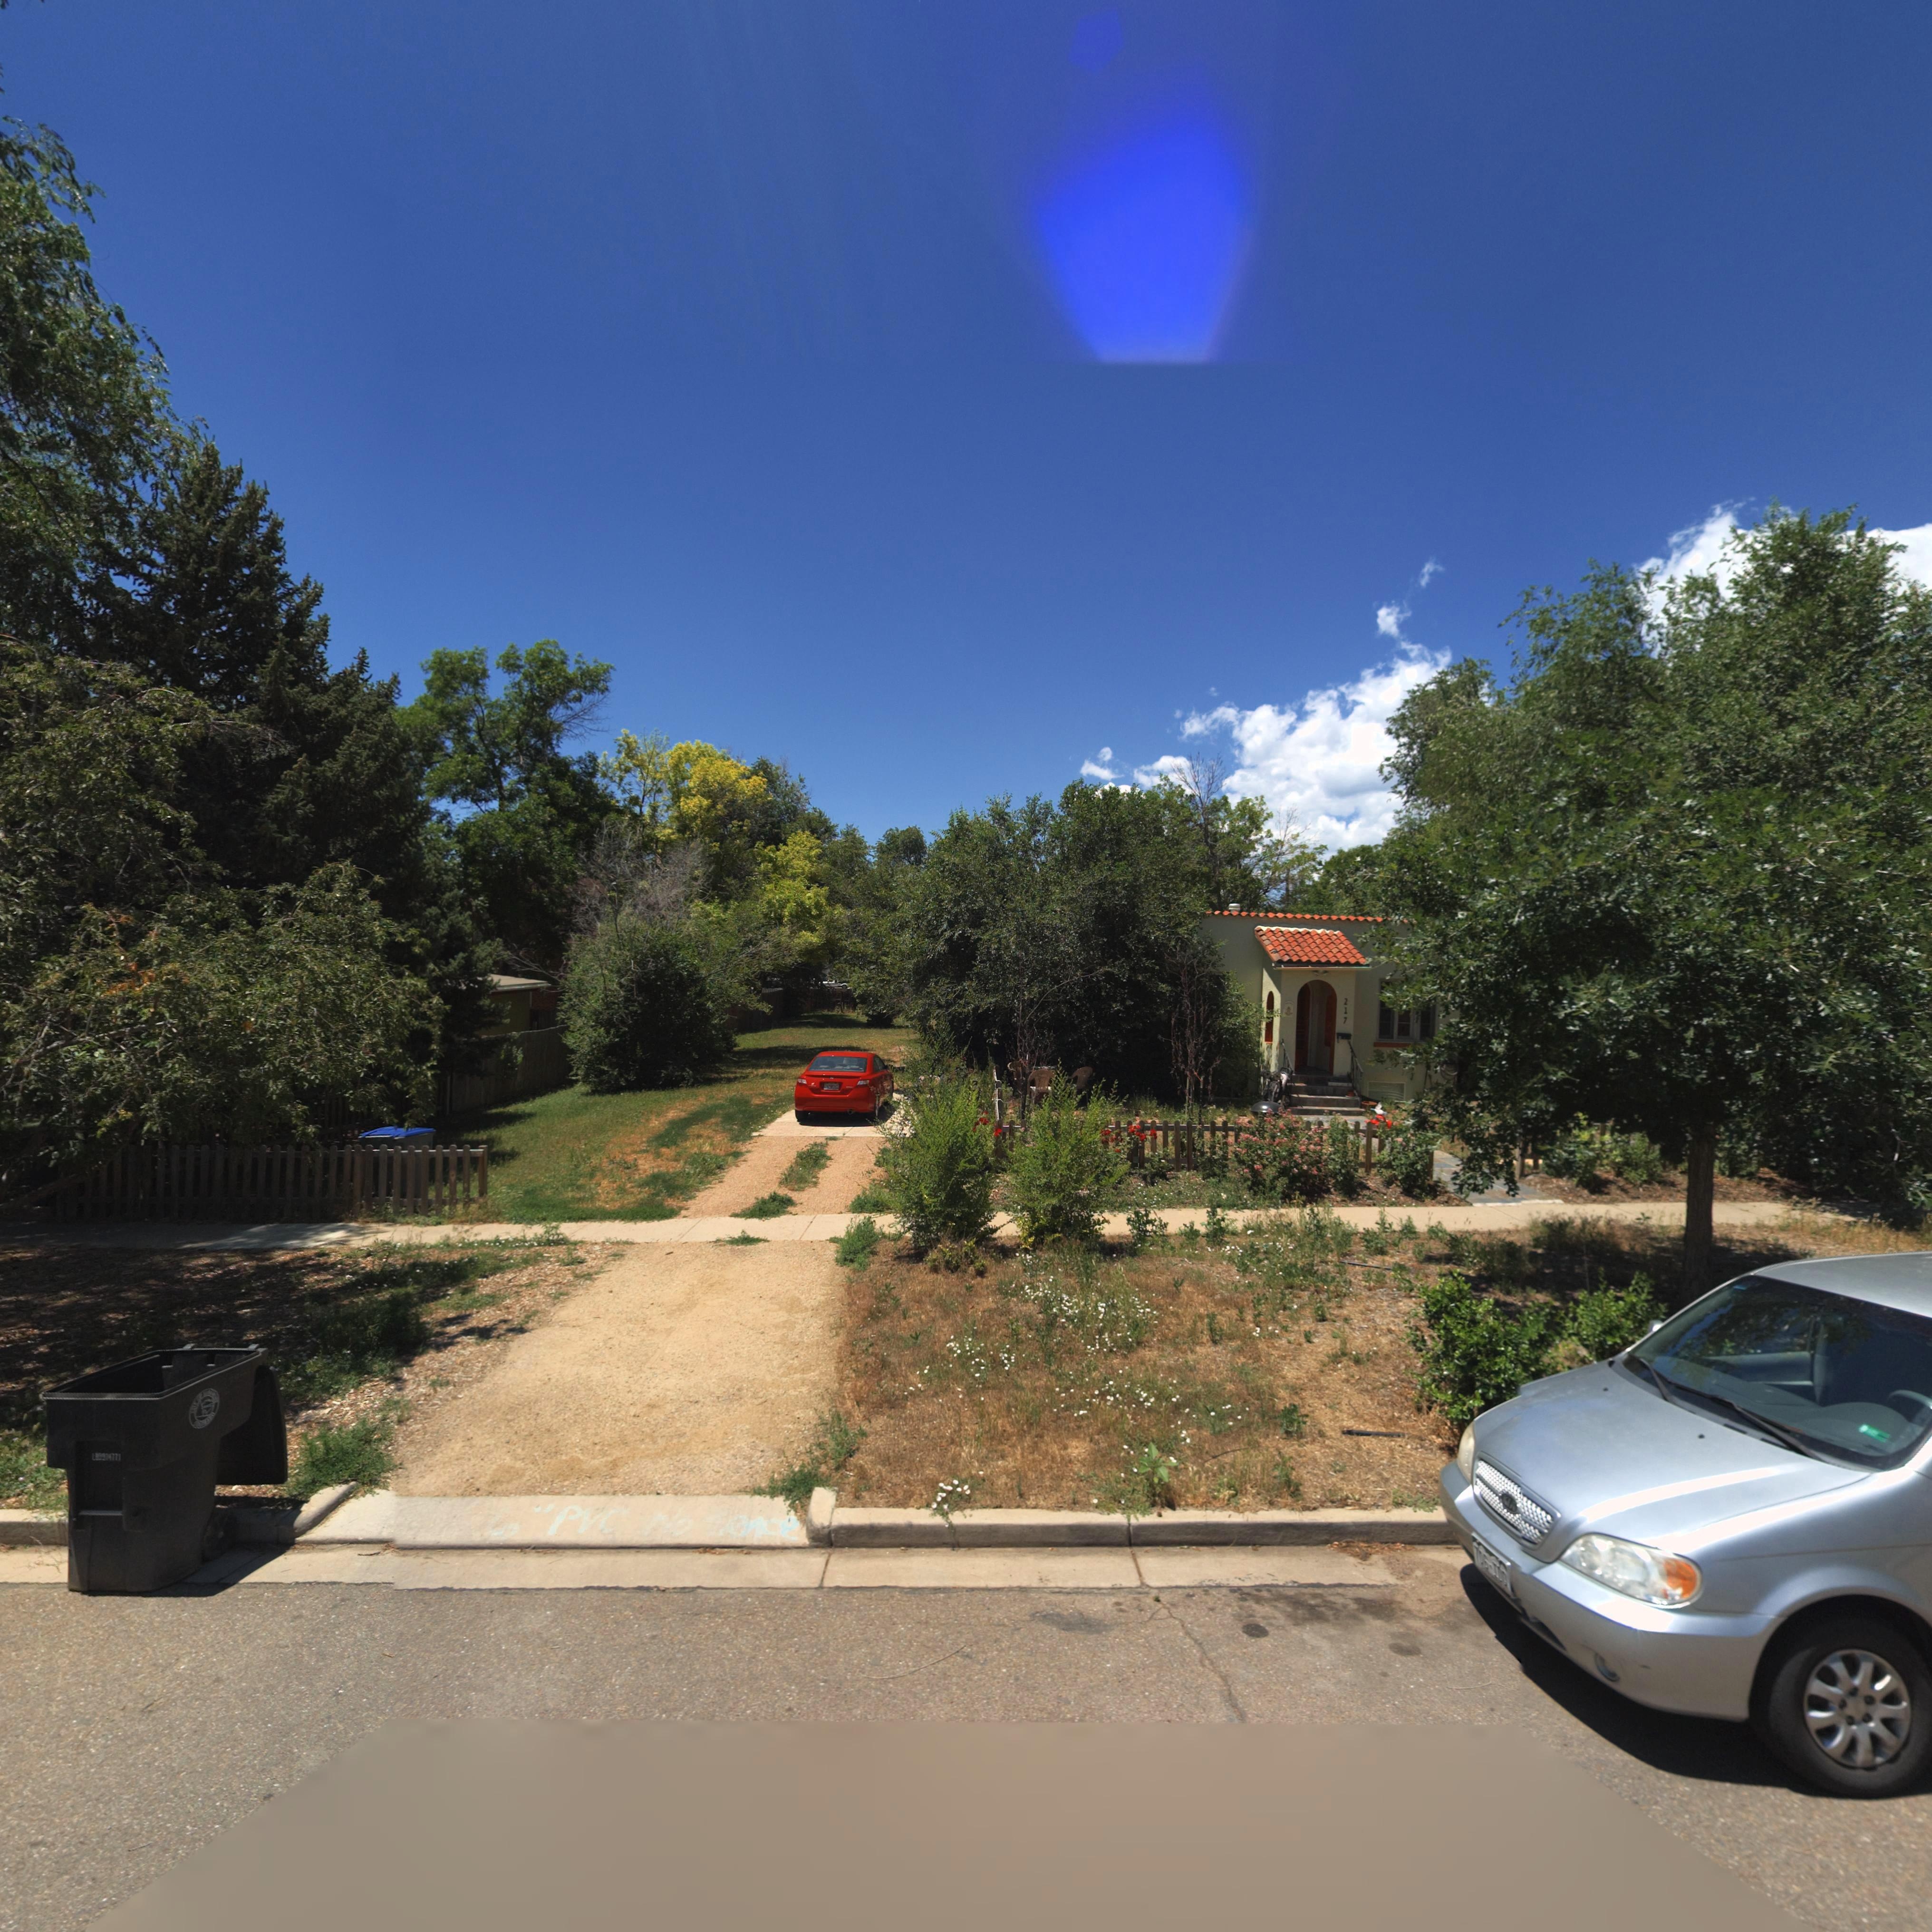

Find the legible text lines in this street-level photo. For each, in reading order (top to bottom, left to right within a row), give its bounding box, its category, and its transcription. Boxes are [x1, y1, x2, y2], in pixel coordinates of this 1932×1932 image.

[1343, 998, 1348, 1024] StreetNumber: 217